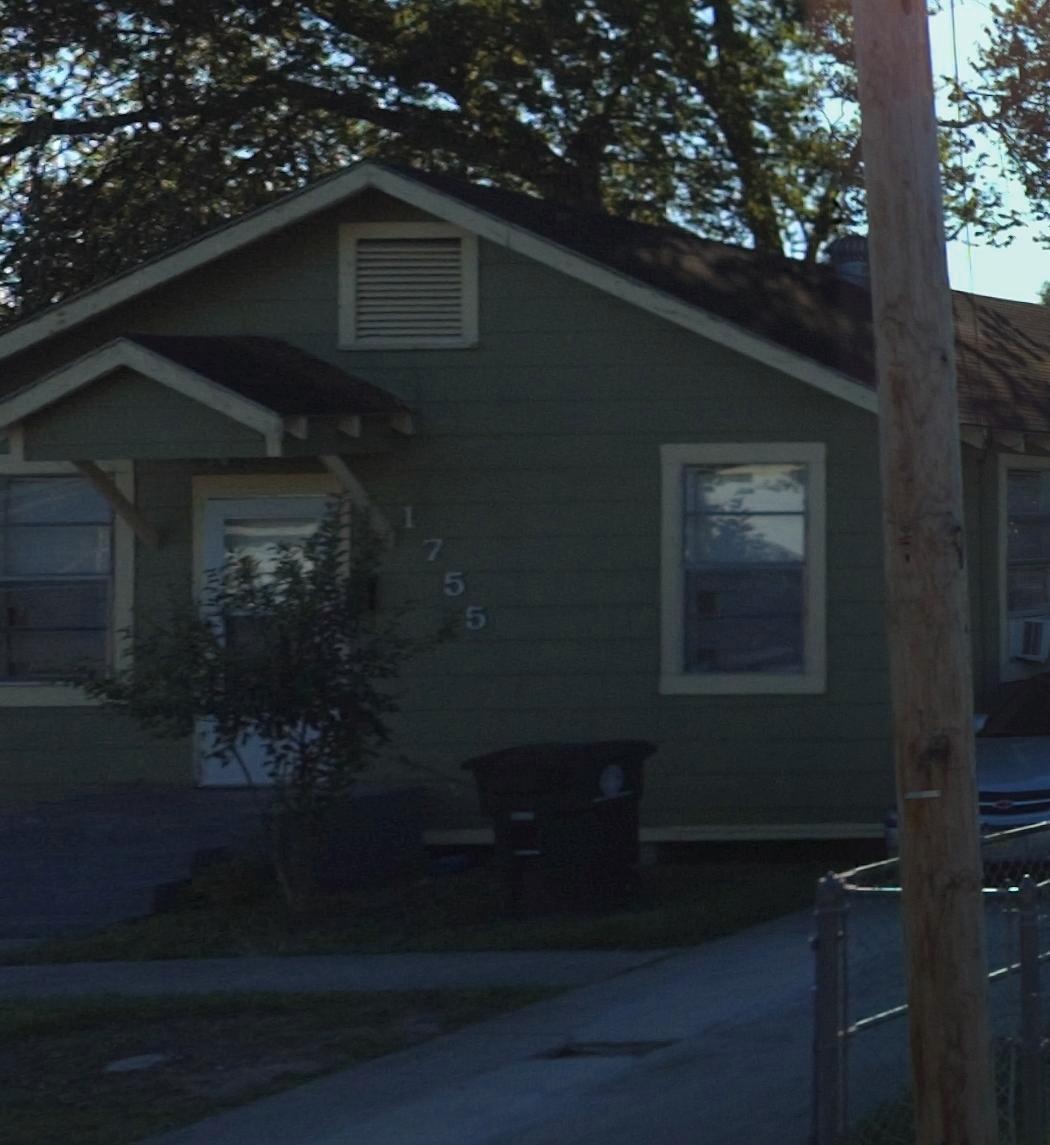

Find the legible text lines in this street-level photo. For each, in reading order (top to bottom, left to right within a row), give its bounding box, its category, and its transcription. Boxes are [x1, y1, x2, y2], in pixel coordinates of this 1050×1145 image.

[393, 502, 493, 635] StreetNumber: 1755